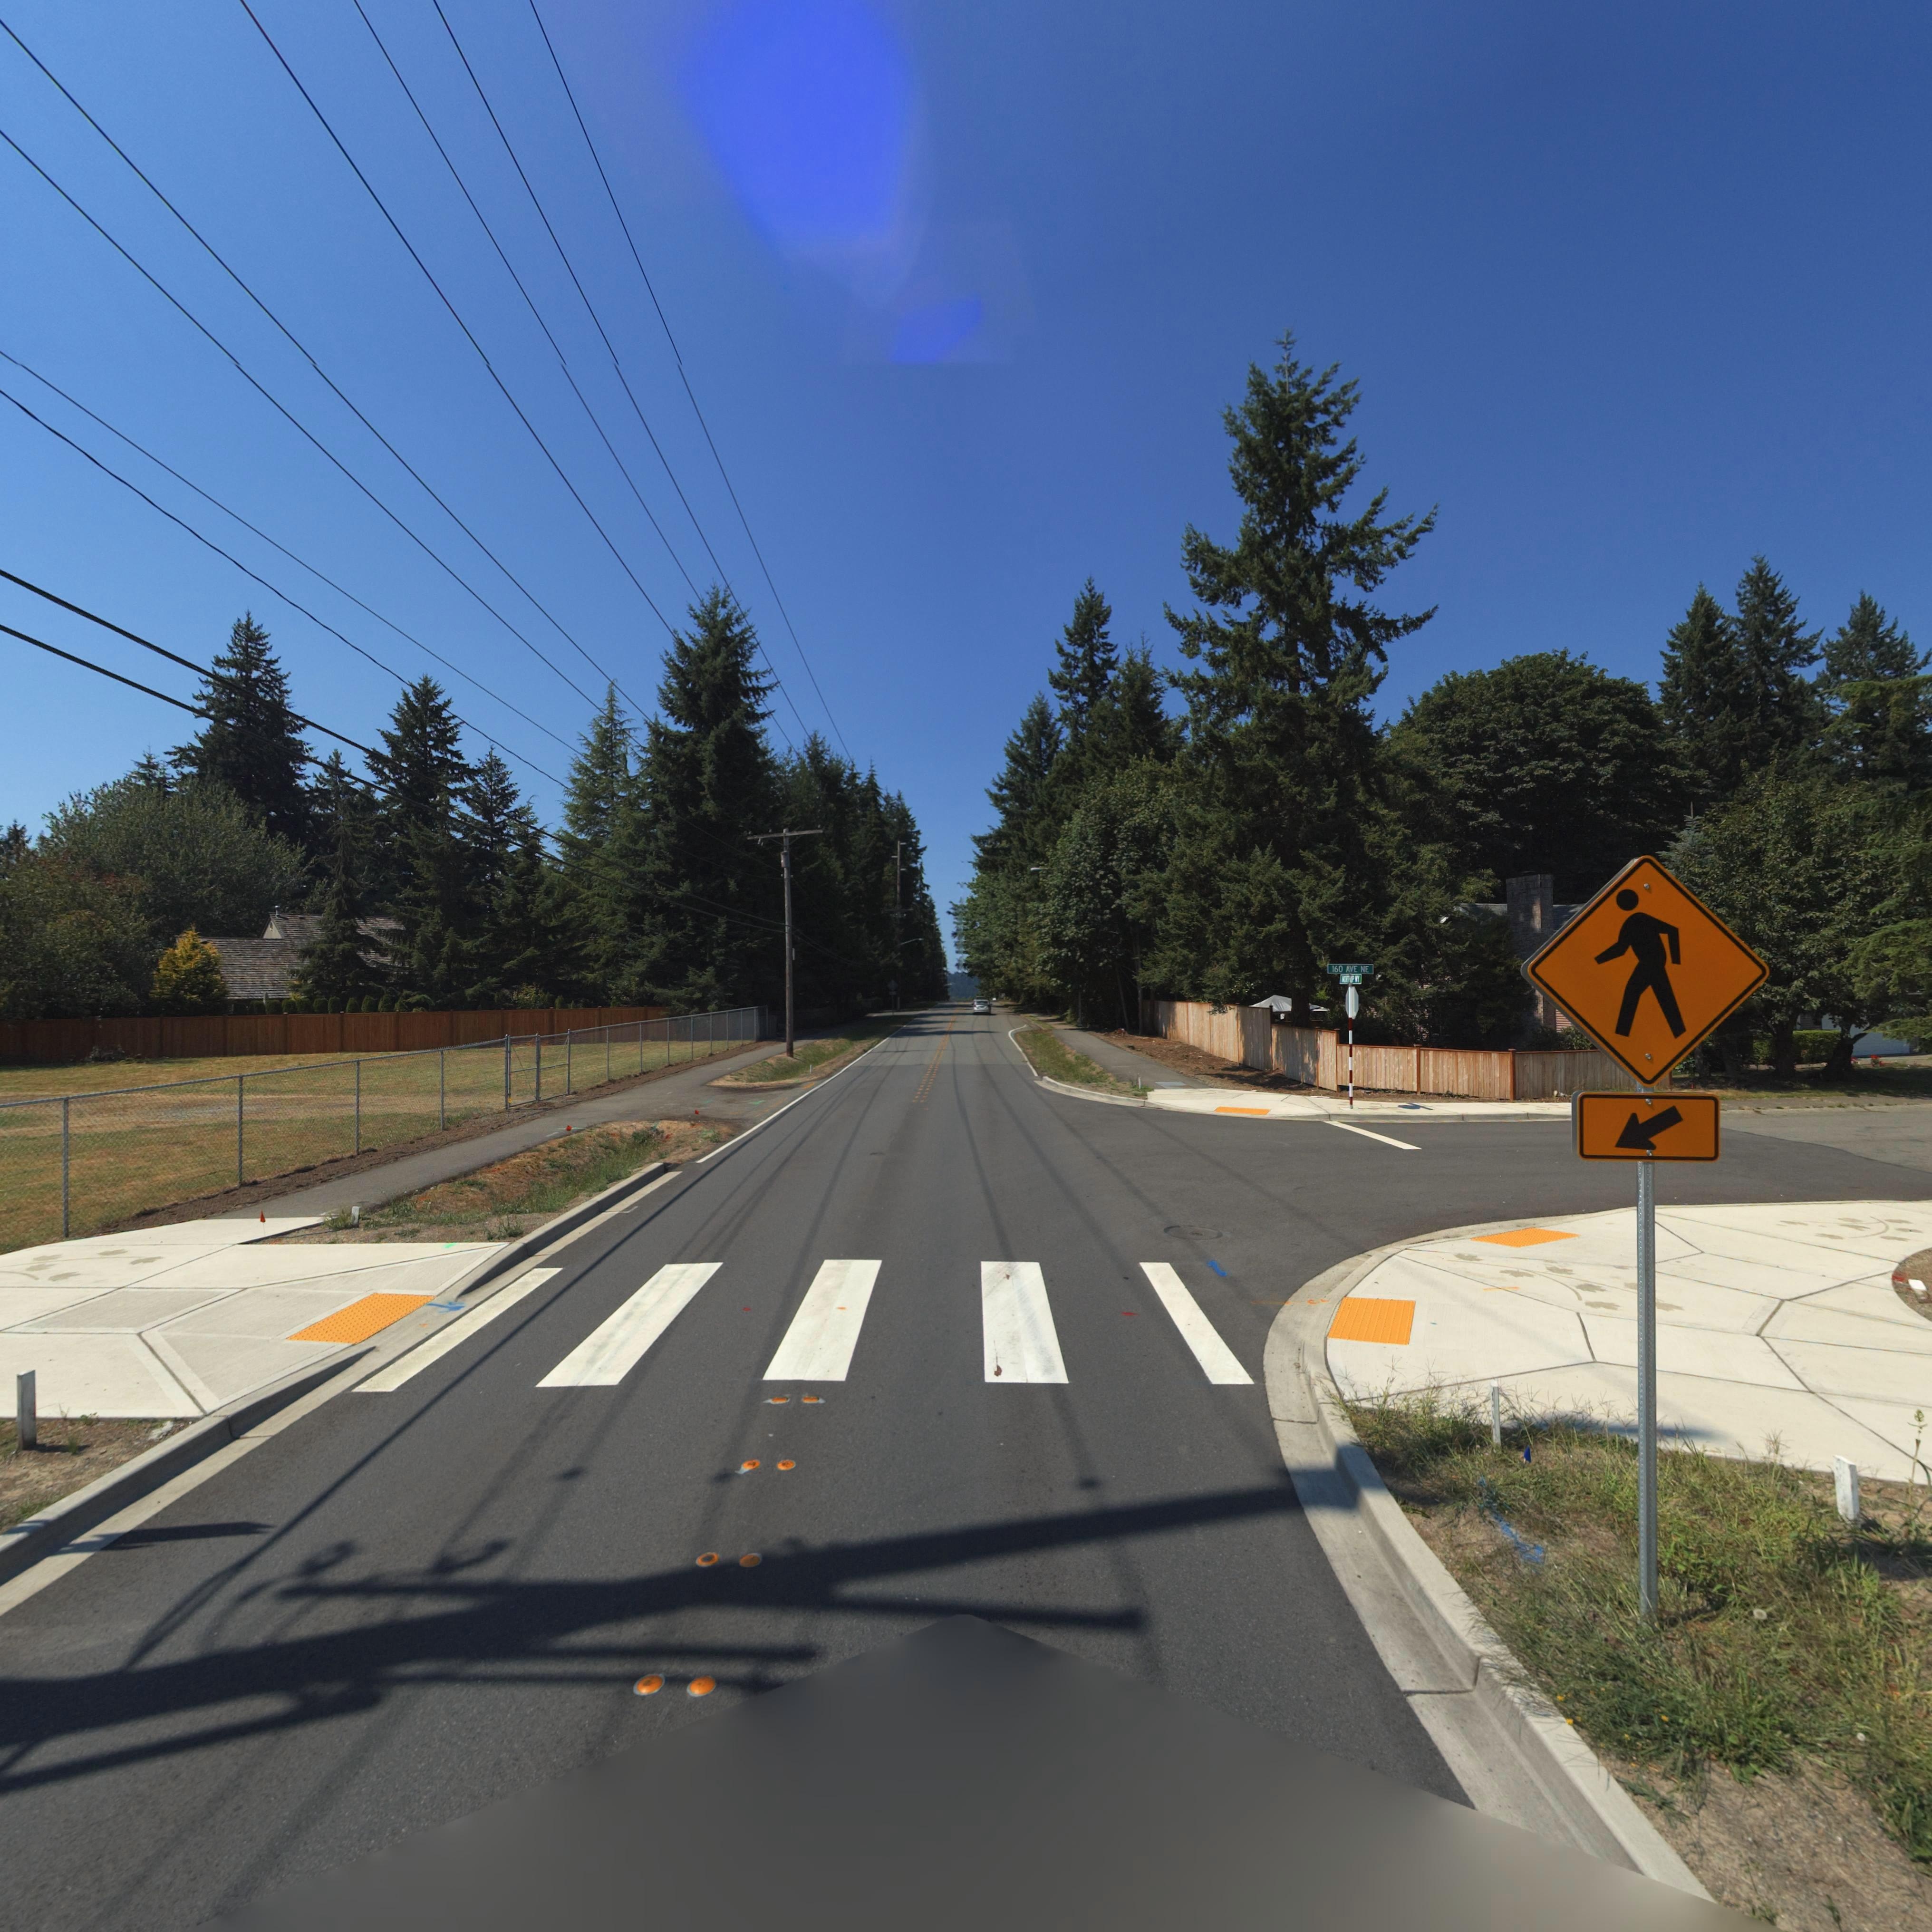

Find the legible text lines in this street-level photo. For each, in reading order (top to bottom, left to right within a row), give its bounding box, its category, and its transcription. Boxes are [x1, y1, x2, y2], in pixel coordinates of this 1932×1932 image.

[1332, 966, 1368, 972] StreetName: 160 AVE NE